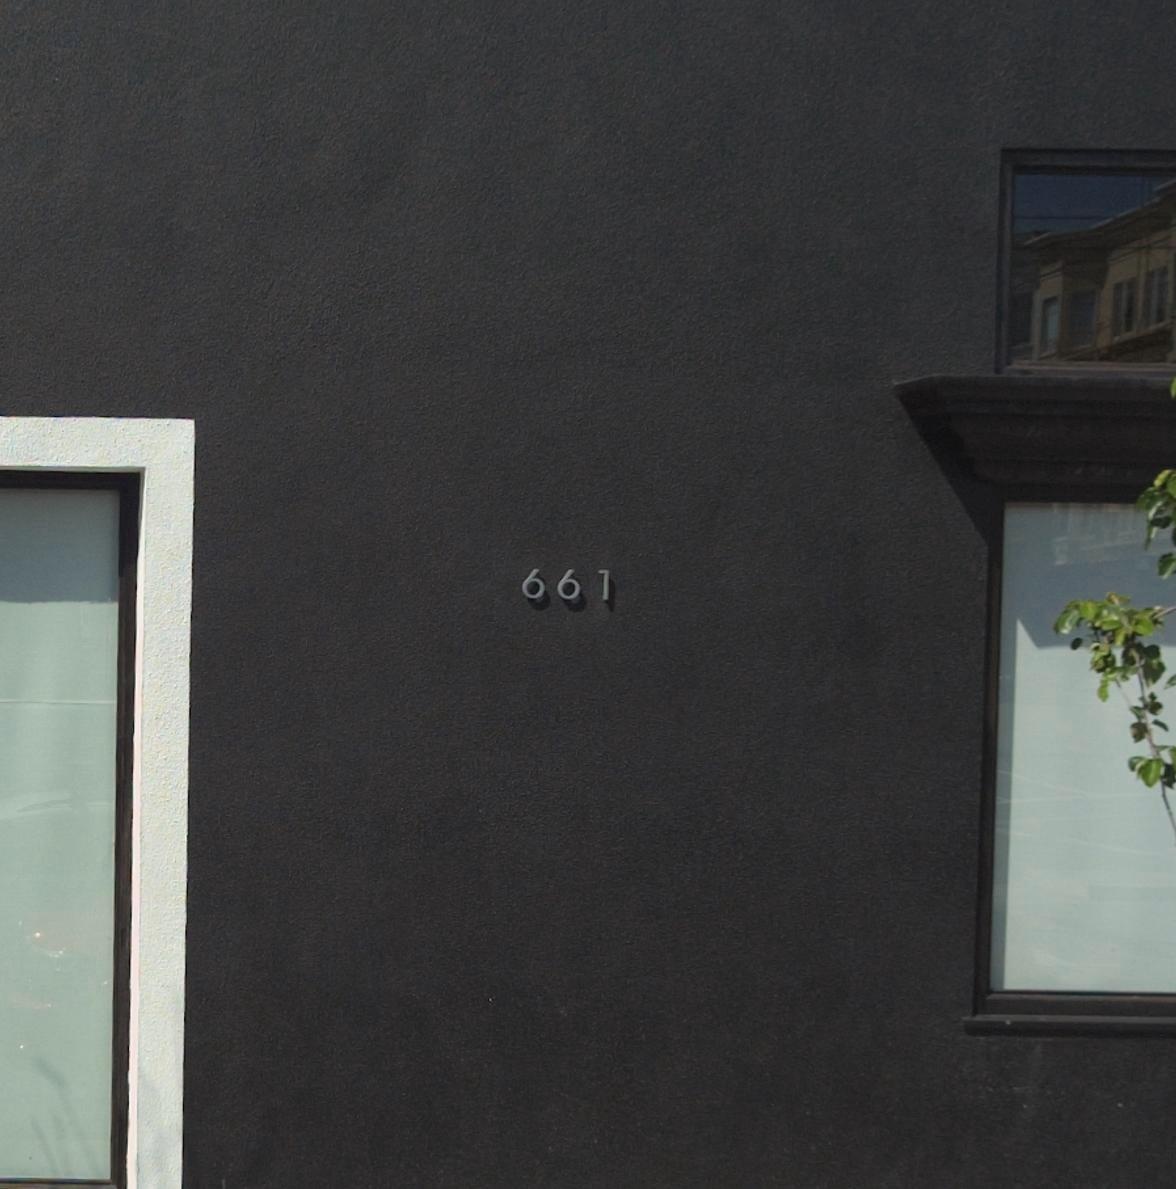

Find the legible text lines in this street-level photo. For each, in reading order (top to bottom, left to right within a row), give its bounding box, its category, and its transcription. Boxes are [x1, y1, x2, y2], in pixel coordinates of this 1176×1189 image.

[519, 567, 612, 602] StreetNumber: 661